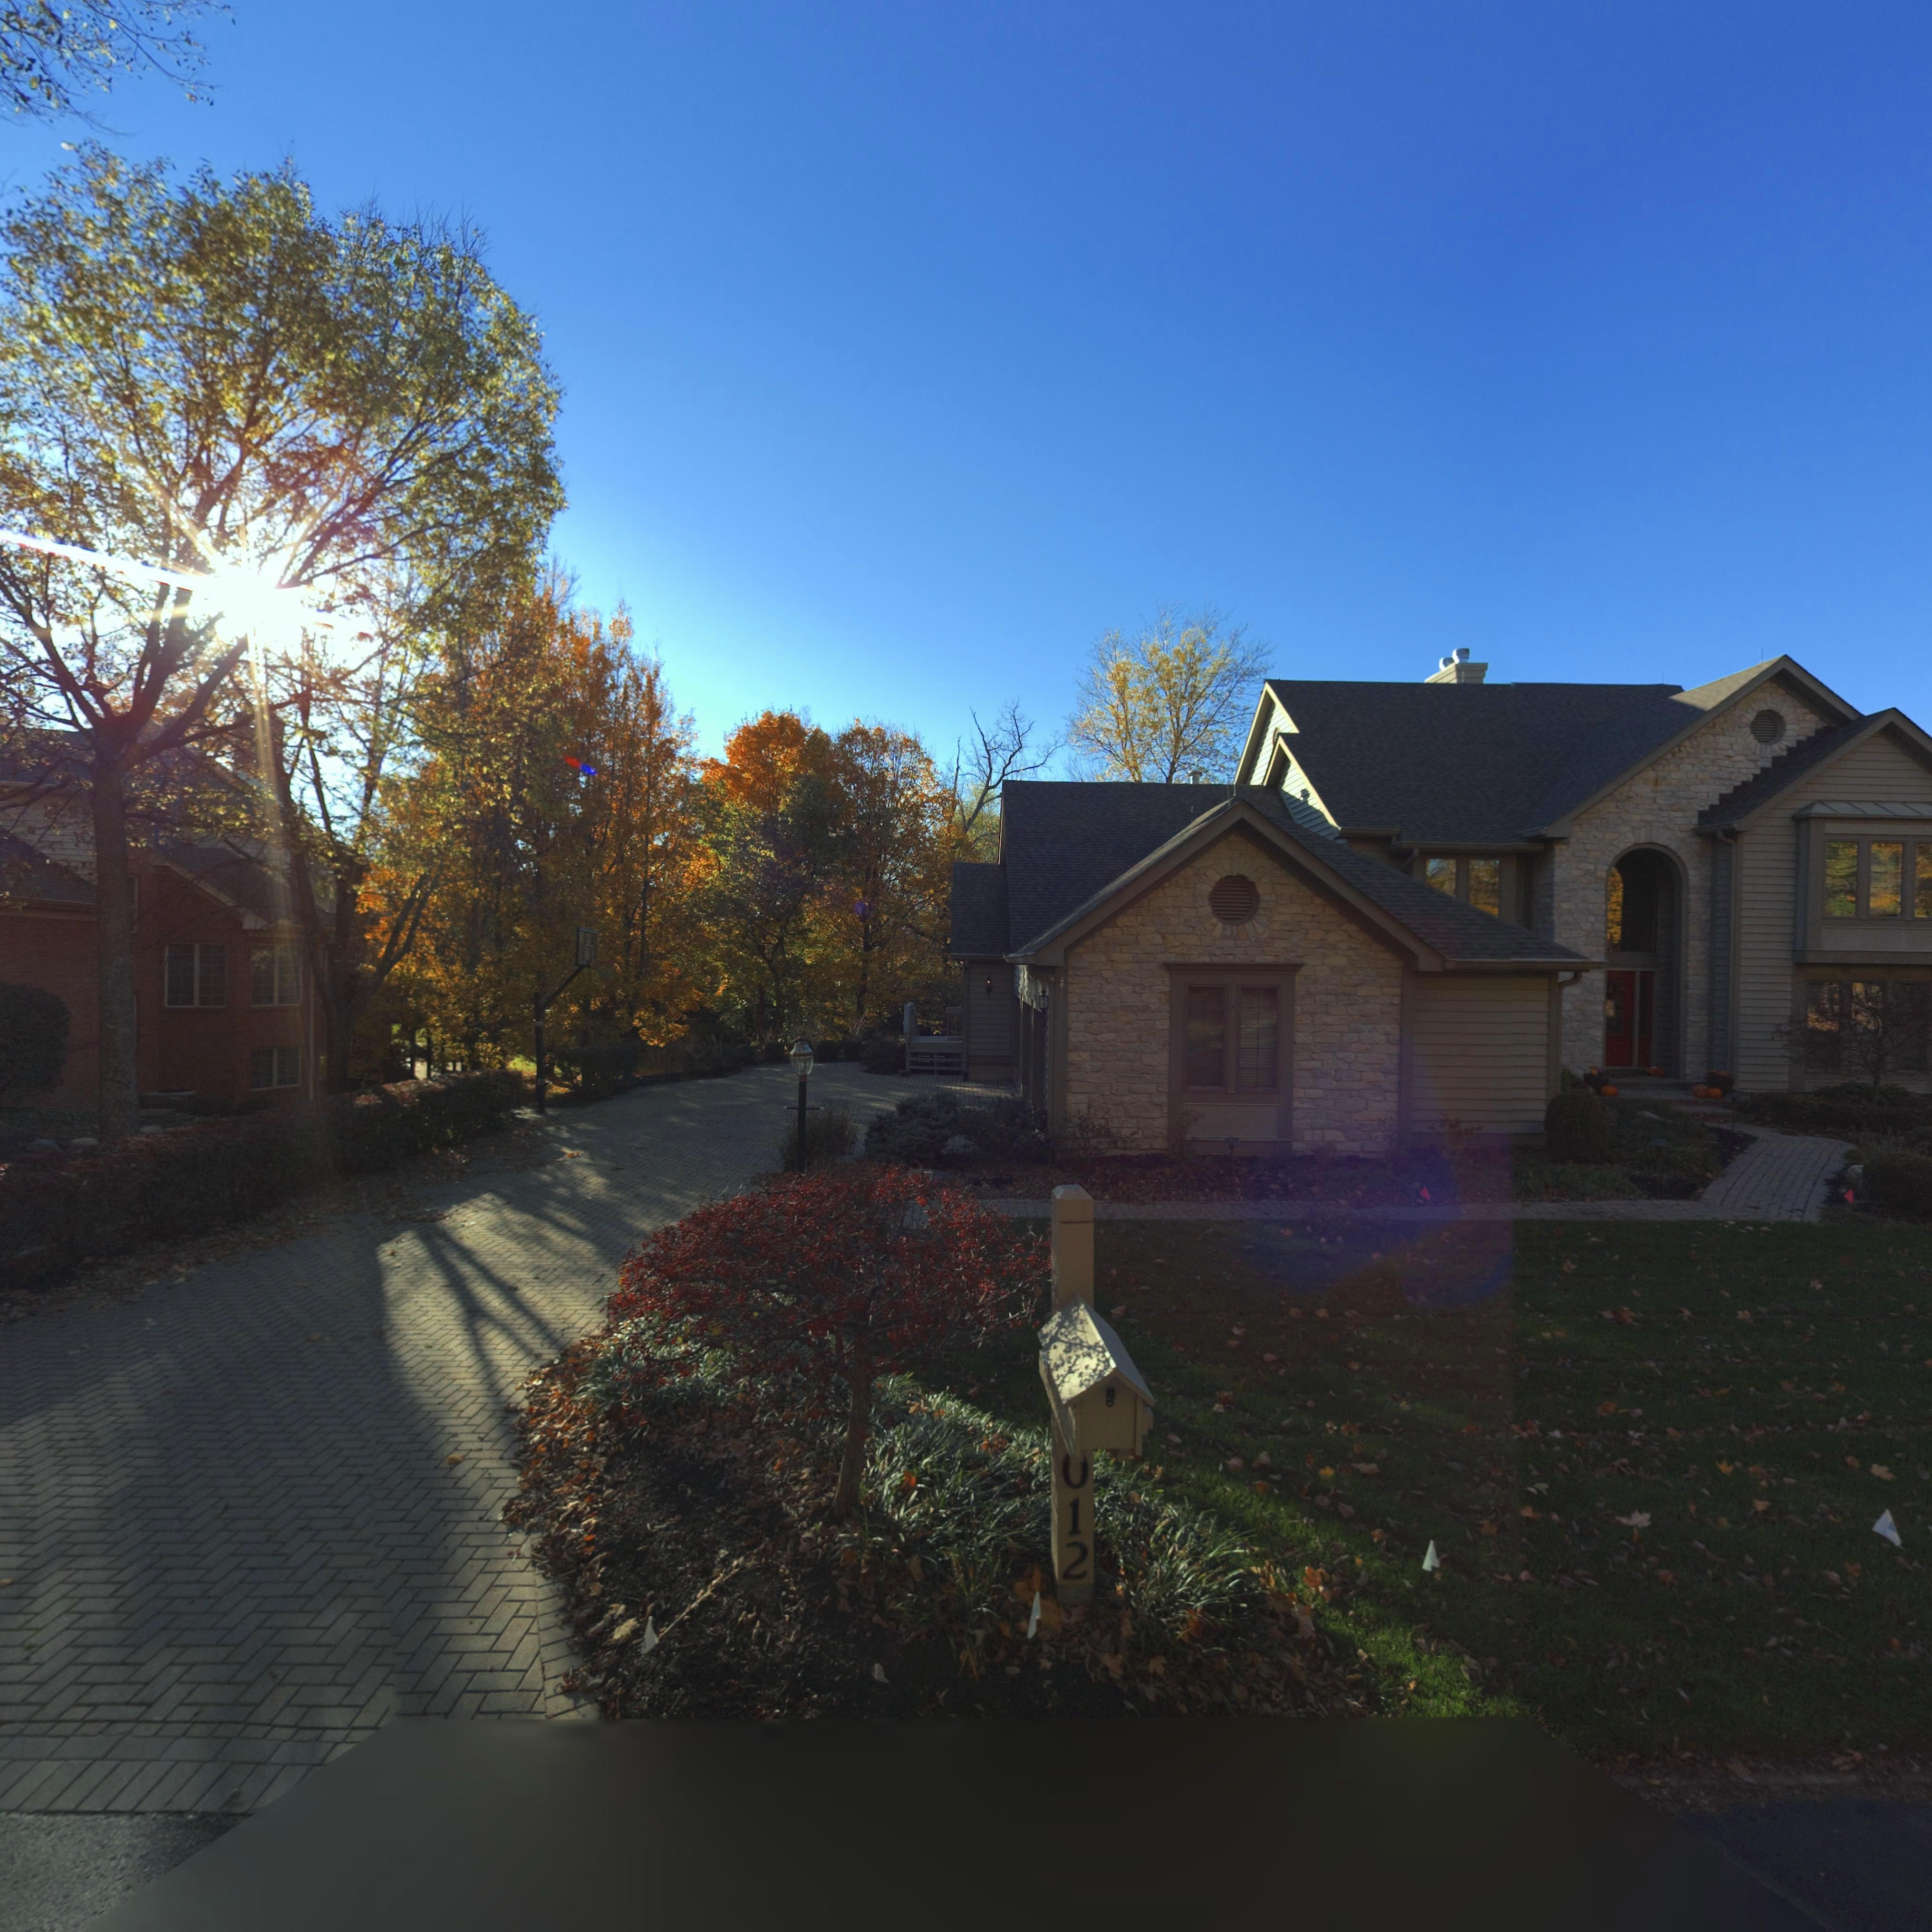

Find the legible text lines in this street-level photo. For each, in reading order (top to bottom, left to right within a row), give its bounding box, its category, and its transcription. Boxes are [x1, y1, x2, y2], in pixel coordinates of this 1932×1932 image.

[1059, 1495, 1090, 1582] StreetNumber: 12